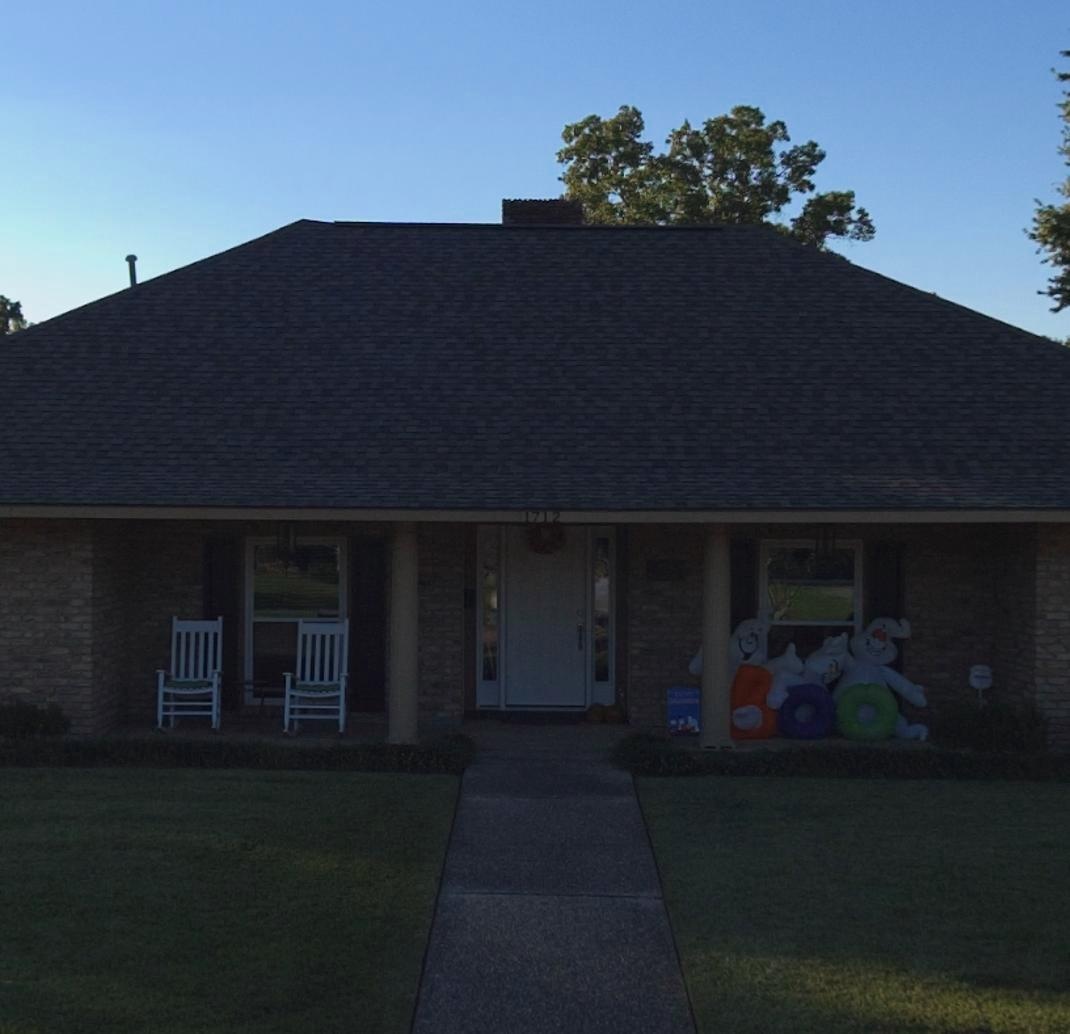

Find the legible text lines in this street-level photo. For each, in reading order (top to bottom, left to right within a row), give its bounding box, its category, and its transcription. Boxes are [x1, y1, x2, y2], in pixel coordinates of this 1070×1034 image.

[523, 510, 561, 523] StreetNumber: 1712